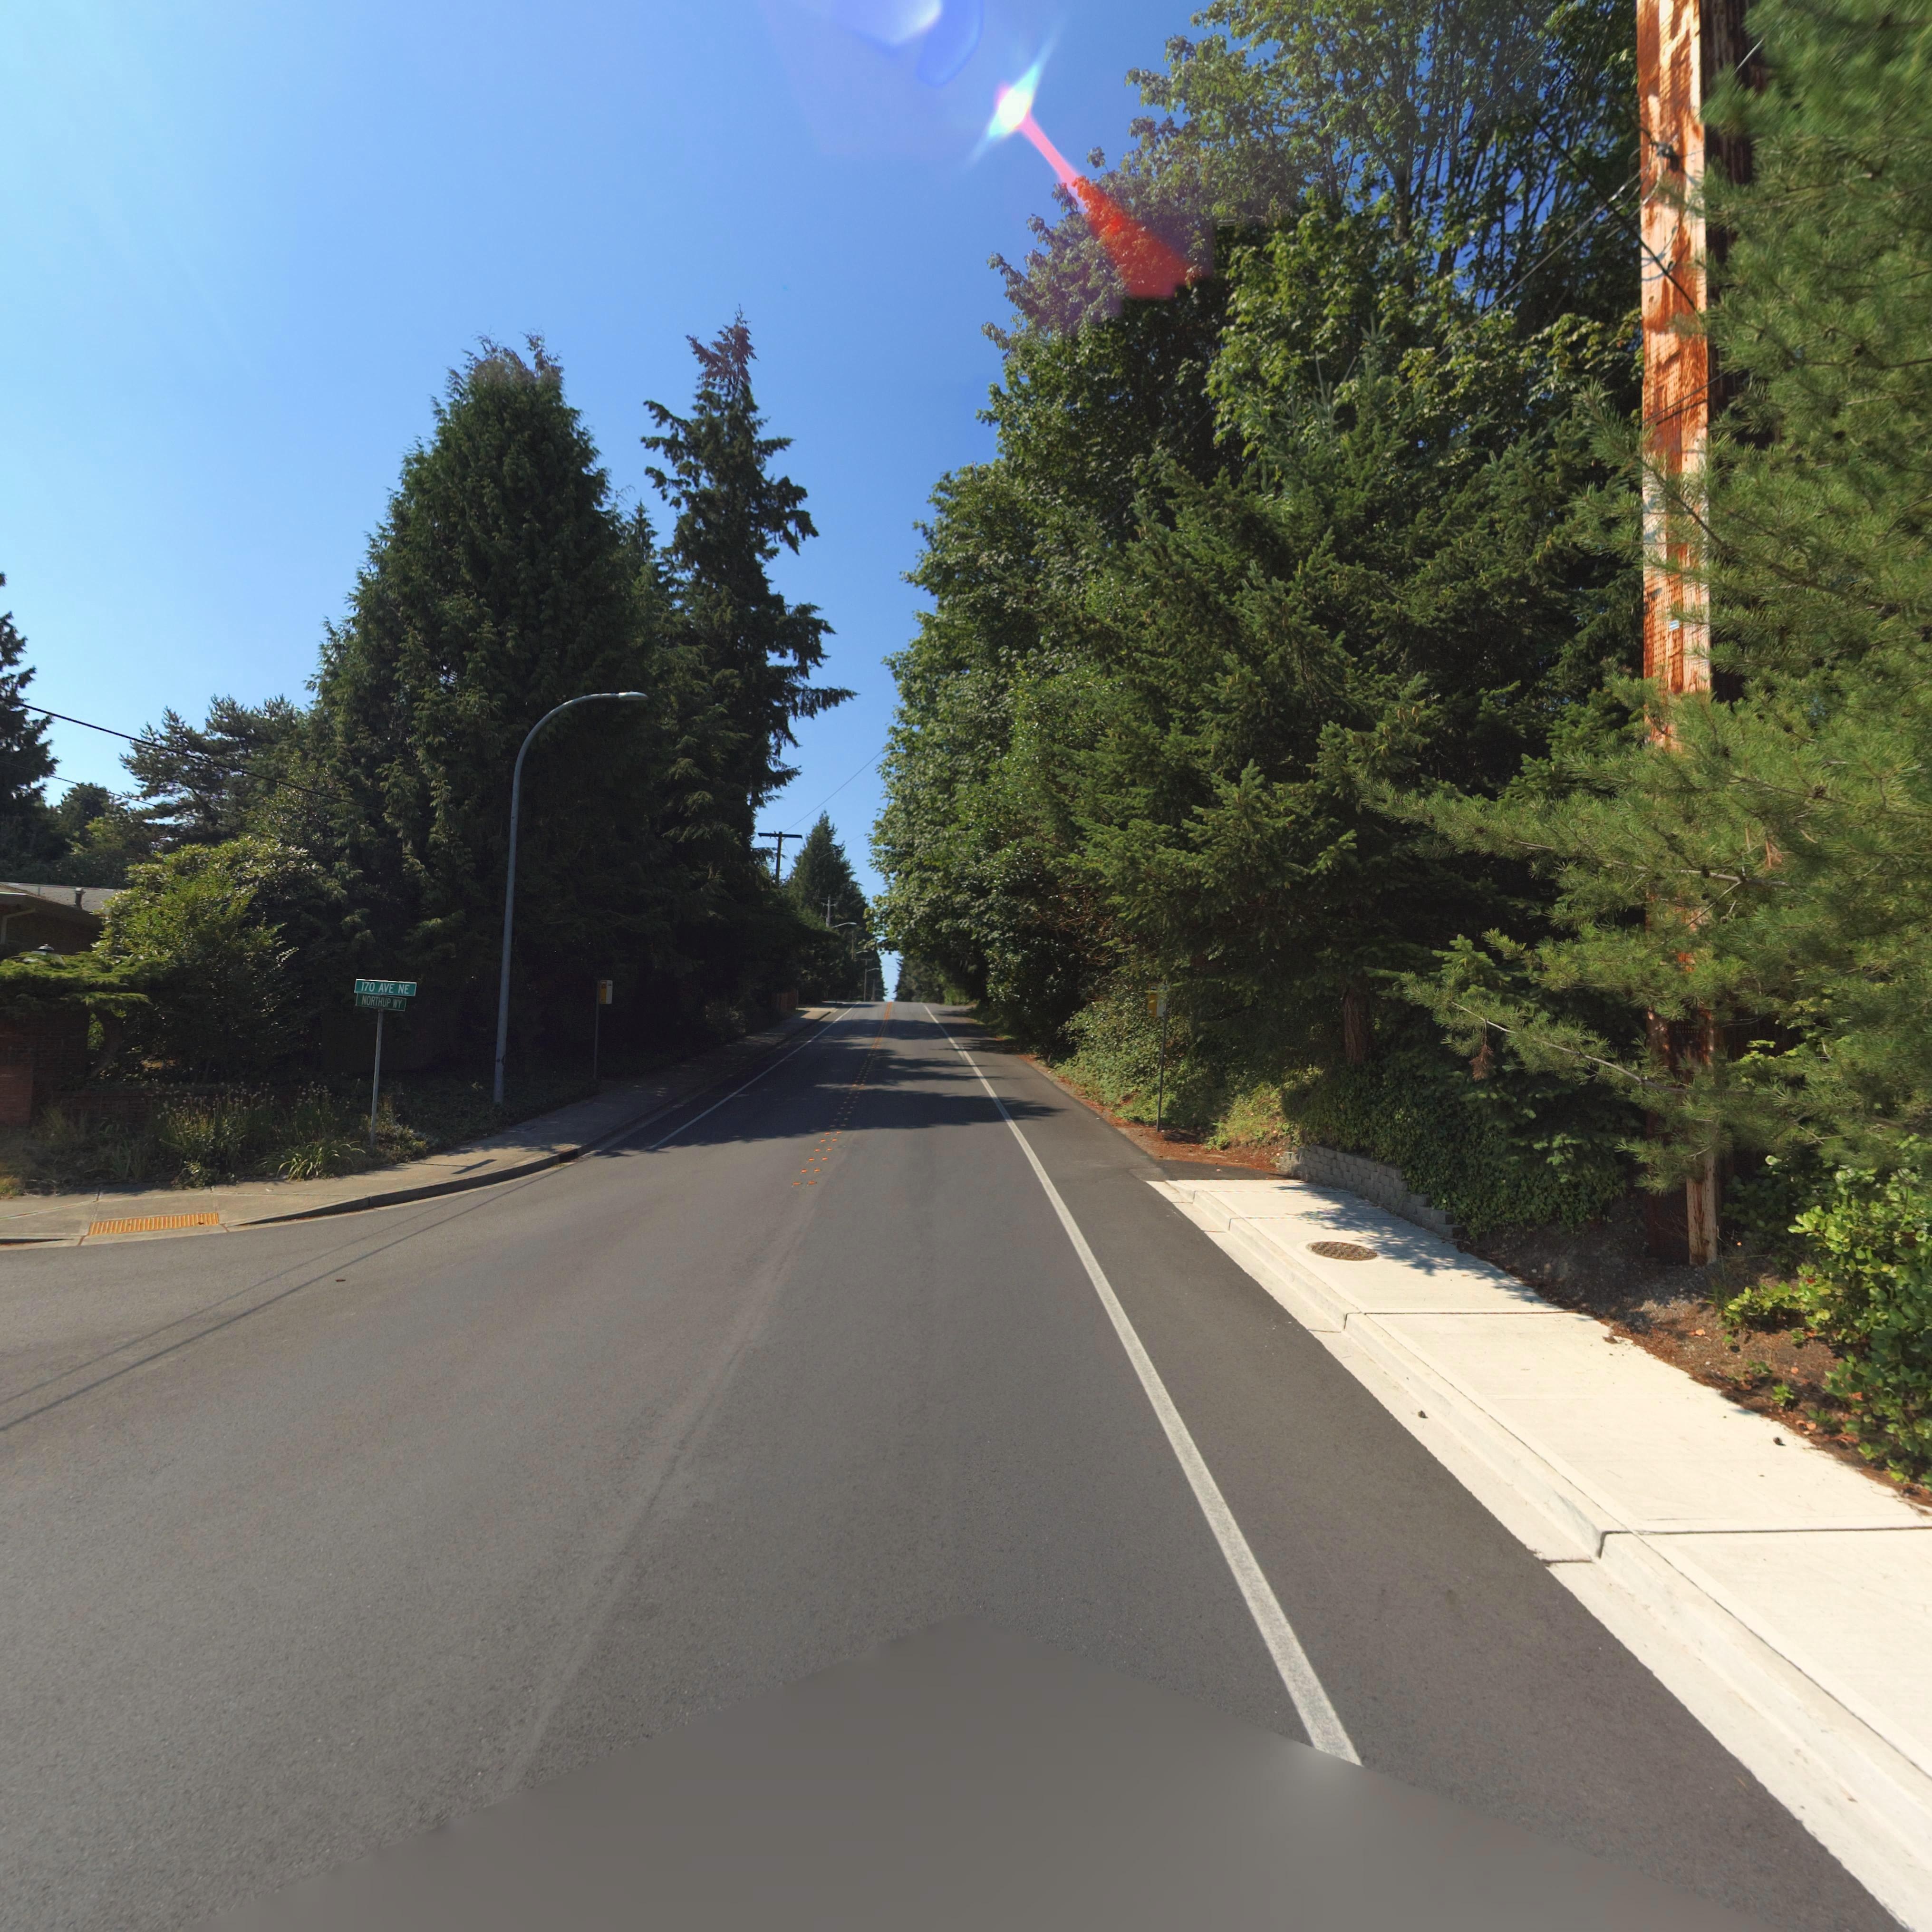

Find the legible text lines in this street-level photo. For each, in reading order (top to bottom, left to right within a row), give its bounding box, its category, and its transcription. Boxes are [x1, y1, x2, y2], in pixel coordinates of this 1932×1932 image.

[360, 981, 410, 994] StreetName: 170 AVE NE
[361, 995, 403, 1009] StreetName: NORTHUP WY